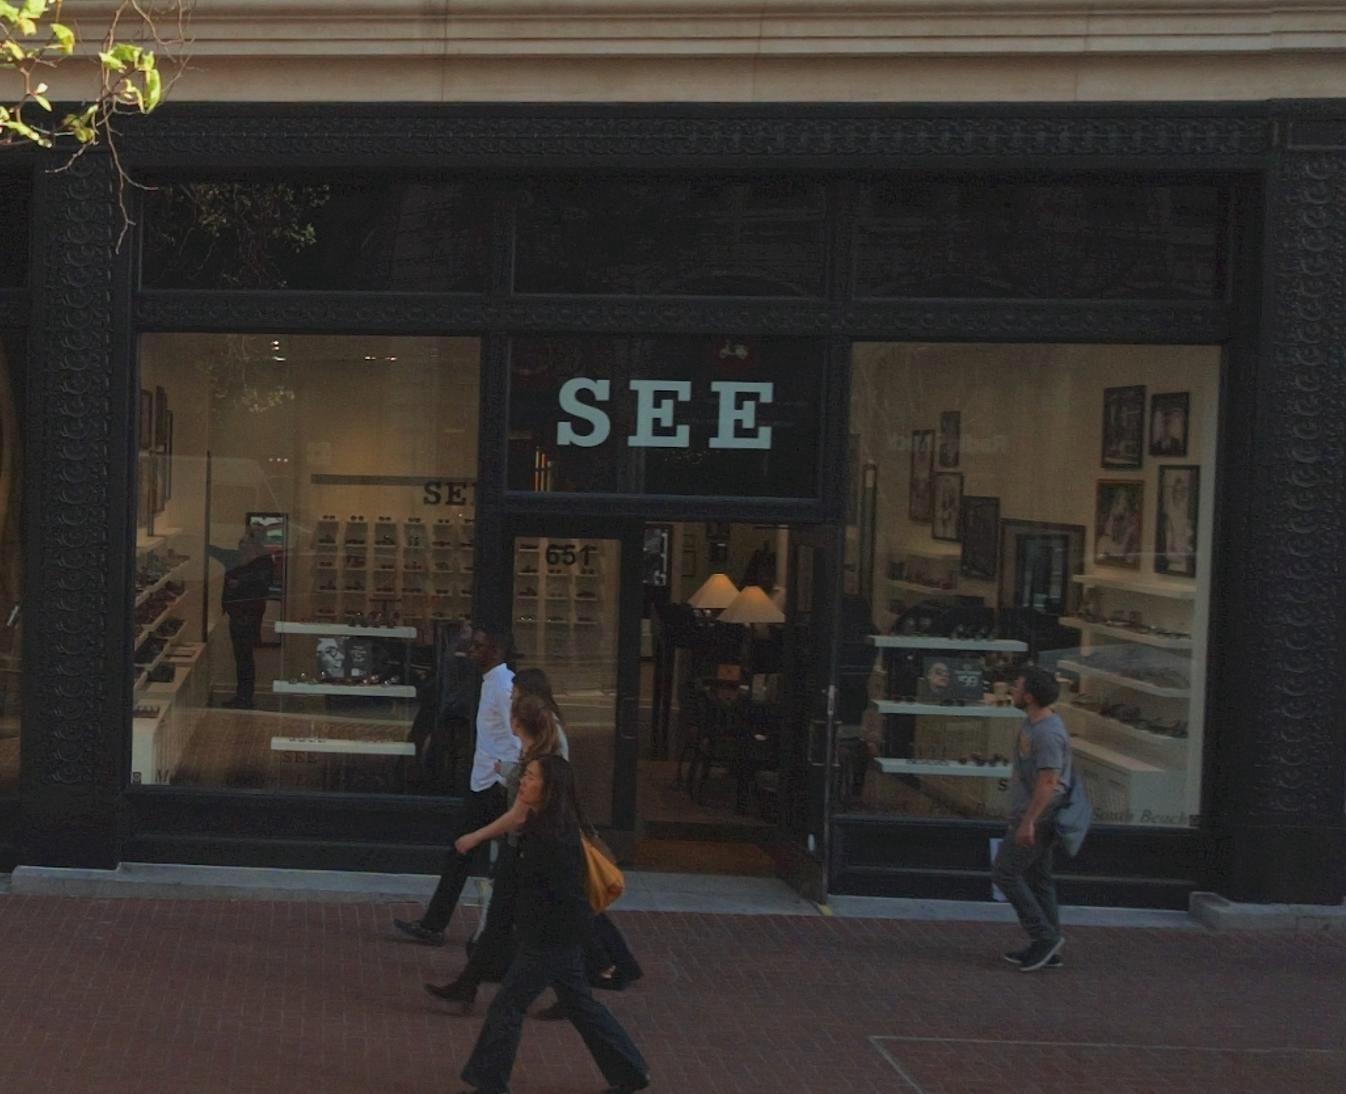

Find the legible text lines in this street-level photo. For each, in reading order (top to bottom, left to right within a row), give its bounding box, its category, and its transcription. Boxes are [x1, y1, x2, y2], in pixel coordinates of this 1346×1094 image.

[553, 374, 777, 452] BusinessName: 651
[420, 480, 468, 508] None: SE
[543, 543, 591, 569] StreetNumber: 651
[959, 675, 979, 690] None: 99
[281, 750, 320, 764] None: SEE
[153, 768, 171, 785] None: M
[997, 778, 1010, 792] None: S
[1090, 804, 1190, 826] None: South Beach